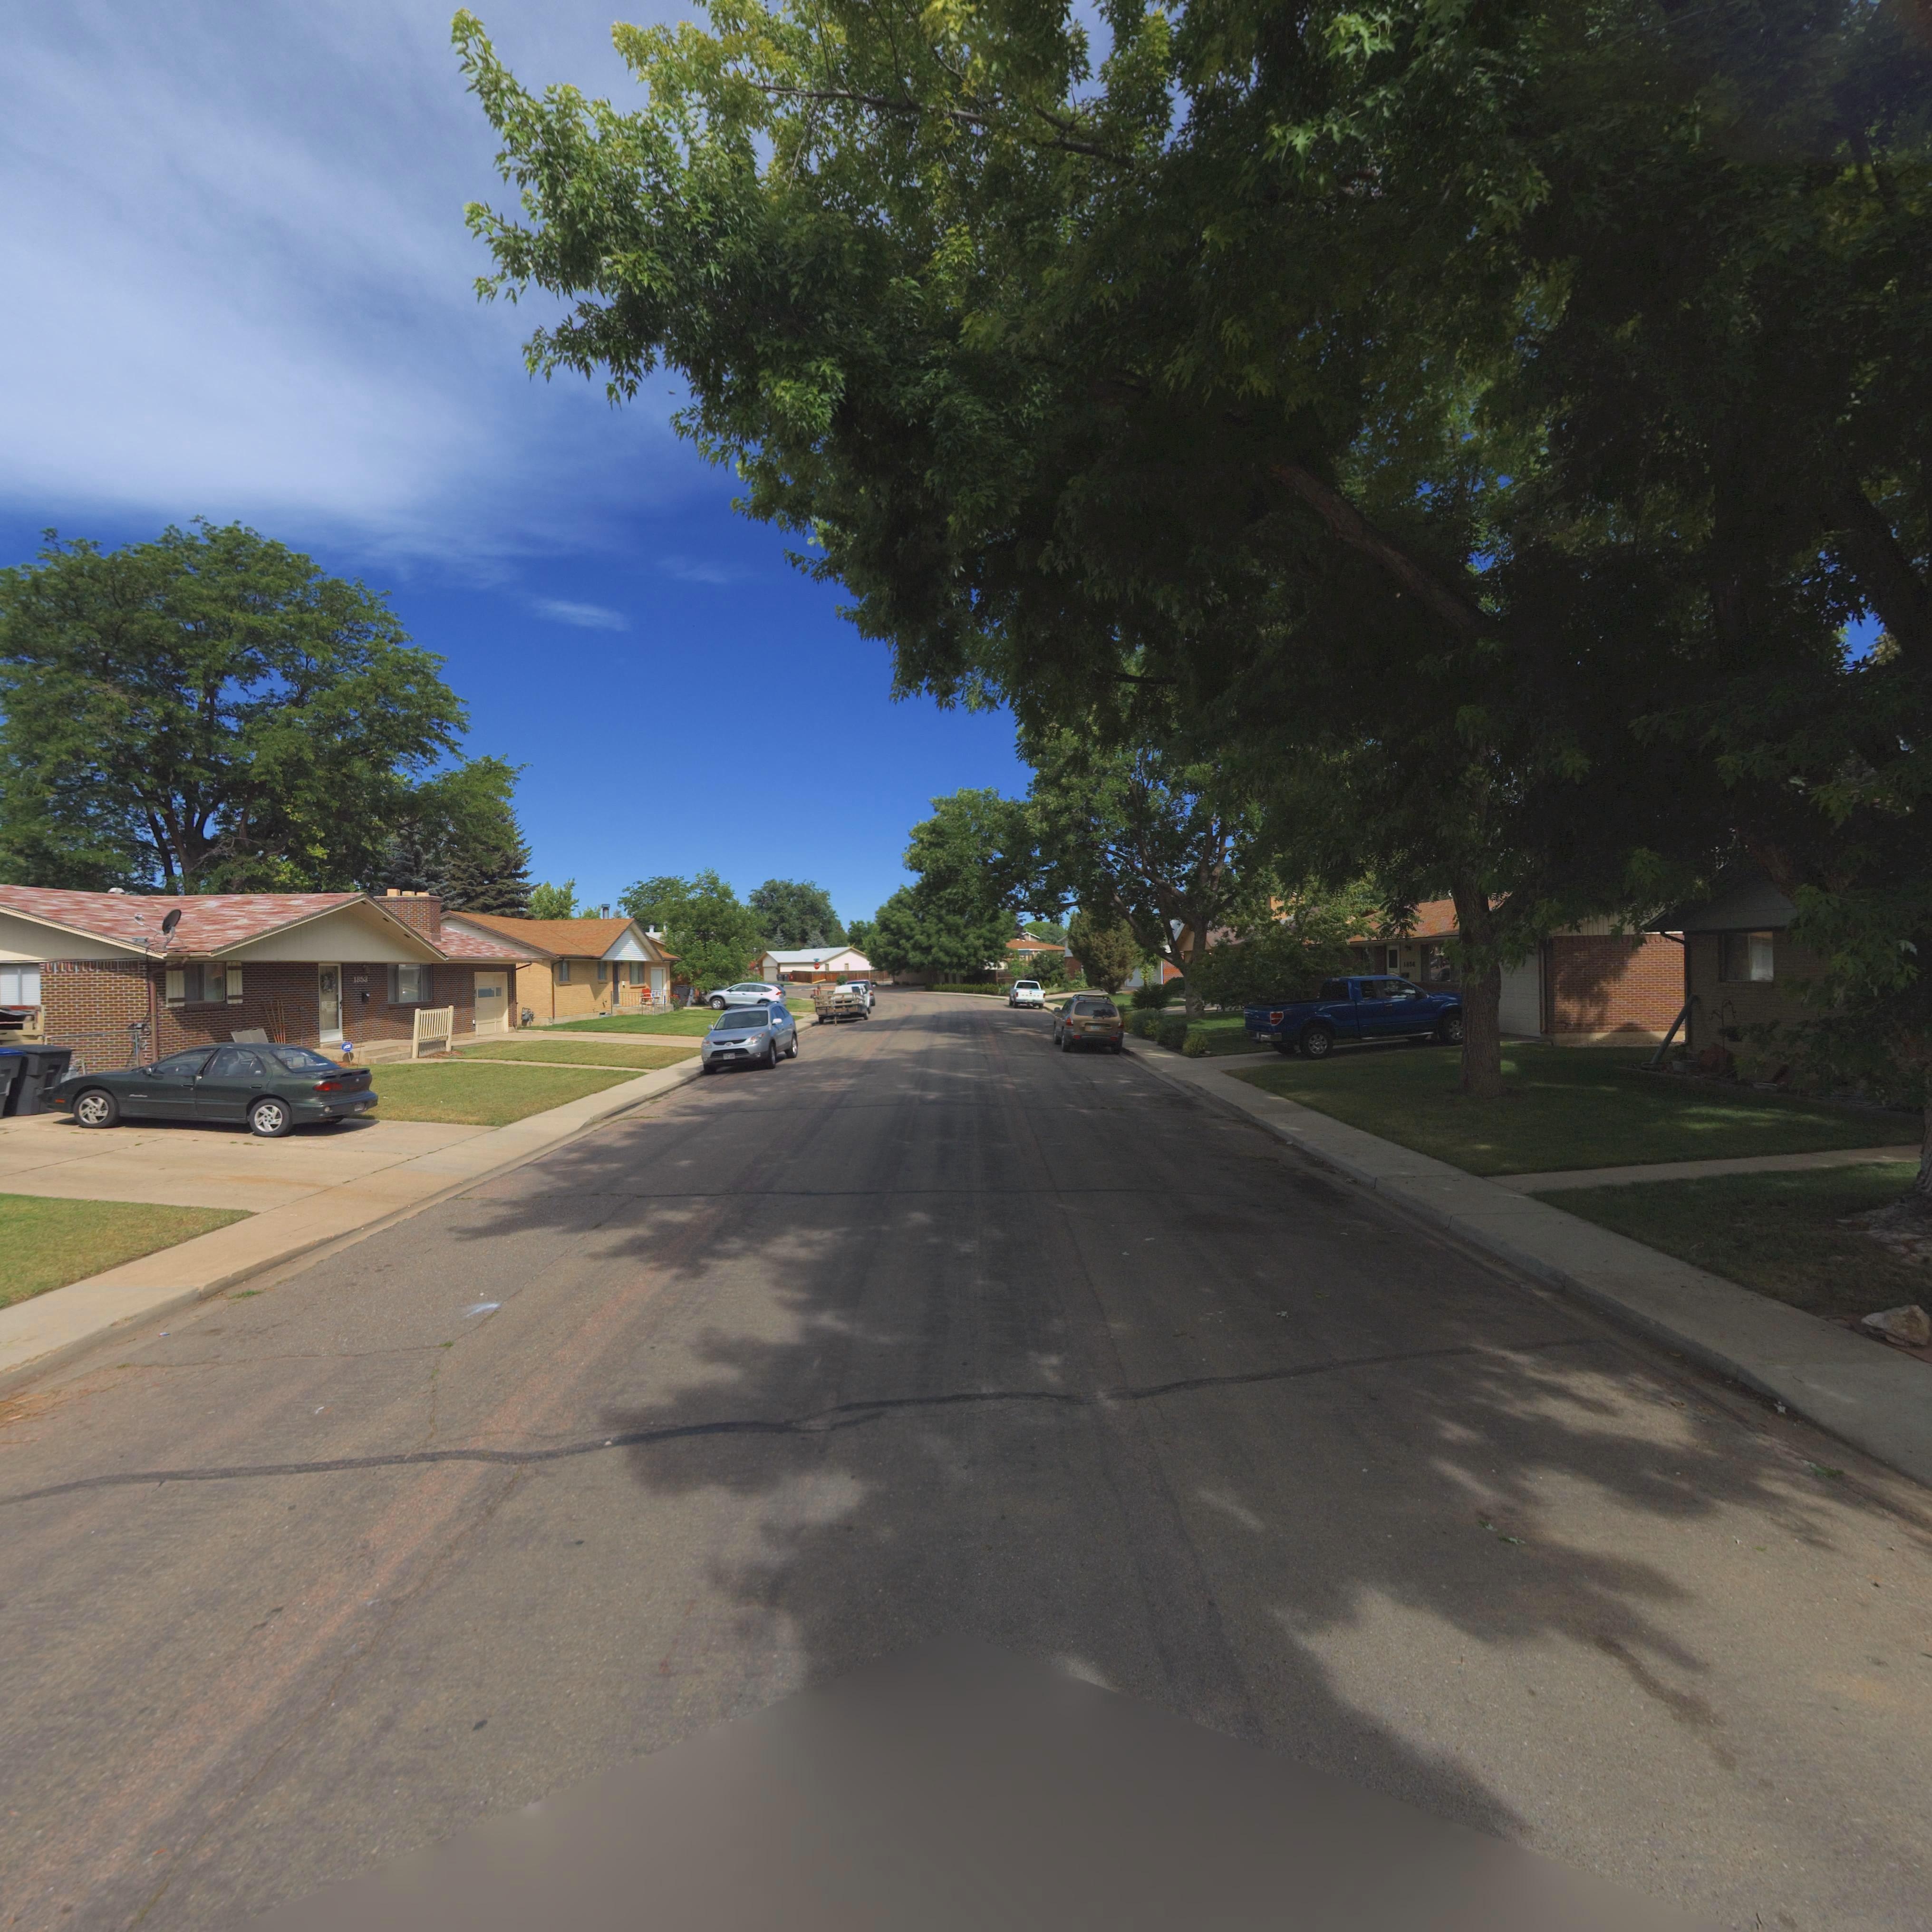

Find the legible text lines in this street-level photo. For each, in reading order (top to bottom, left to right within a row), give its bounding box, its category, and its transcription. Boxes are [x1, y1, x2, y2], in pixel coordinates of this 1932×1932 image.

[1403, 961, 1415, 967] StreetNumber: 1856
[353, 976, 367, 982] StreetNumber: 1853